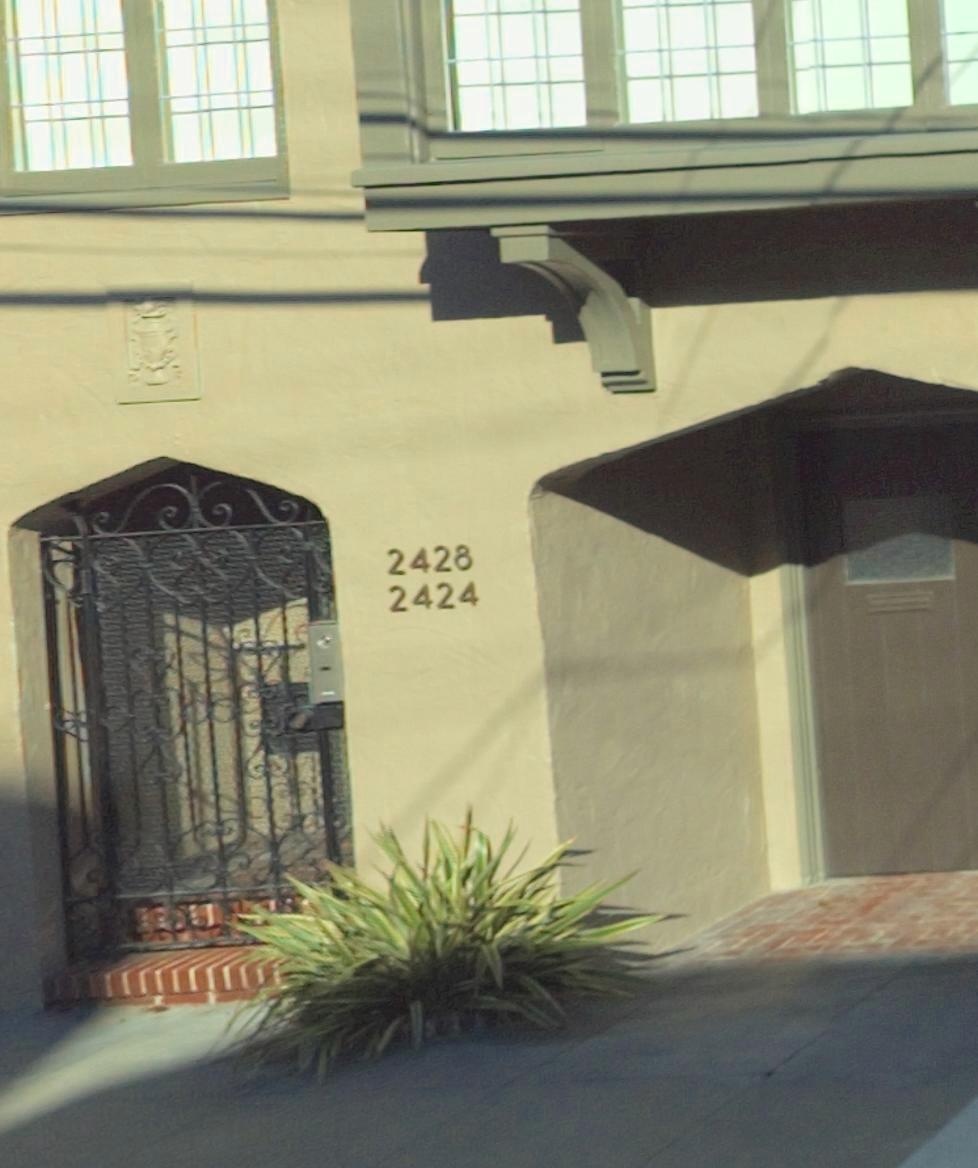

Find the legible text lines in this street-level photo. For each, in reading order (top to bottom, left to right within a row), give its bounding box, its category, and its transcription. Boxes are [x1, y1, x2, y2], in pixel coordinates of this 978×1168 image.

[385, 542, 476, 577] StreetNumber: 2428
[385, 579, 483, 615] StreetNumber: 2424